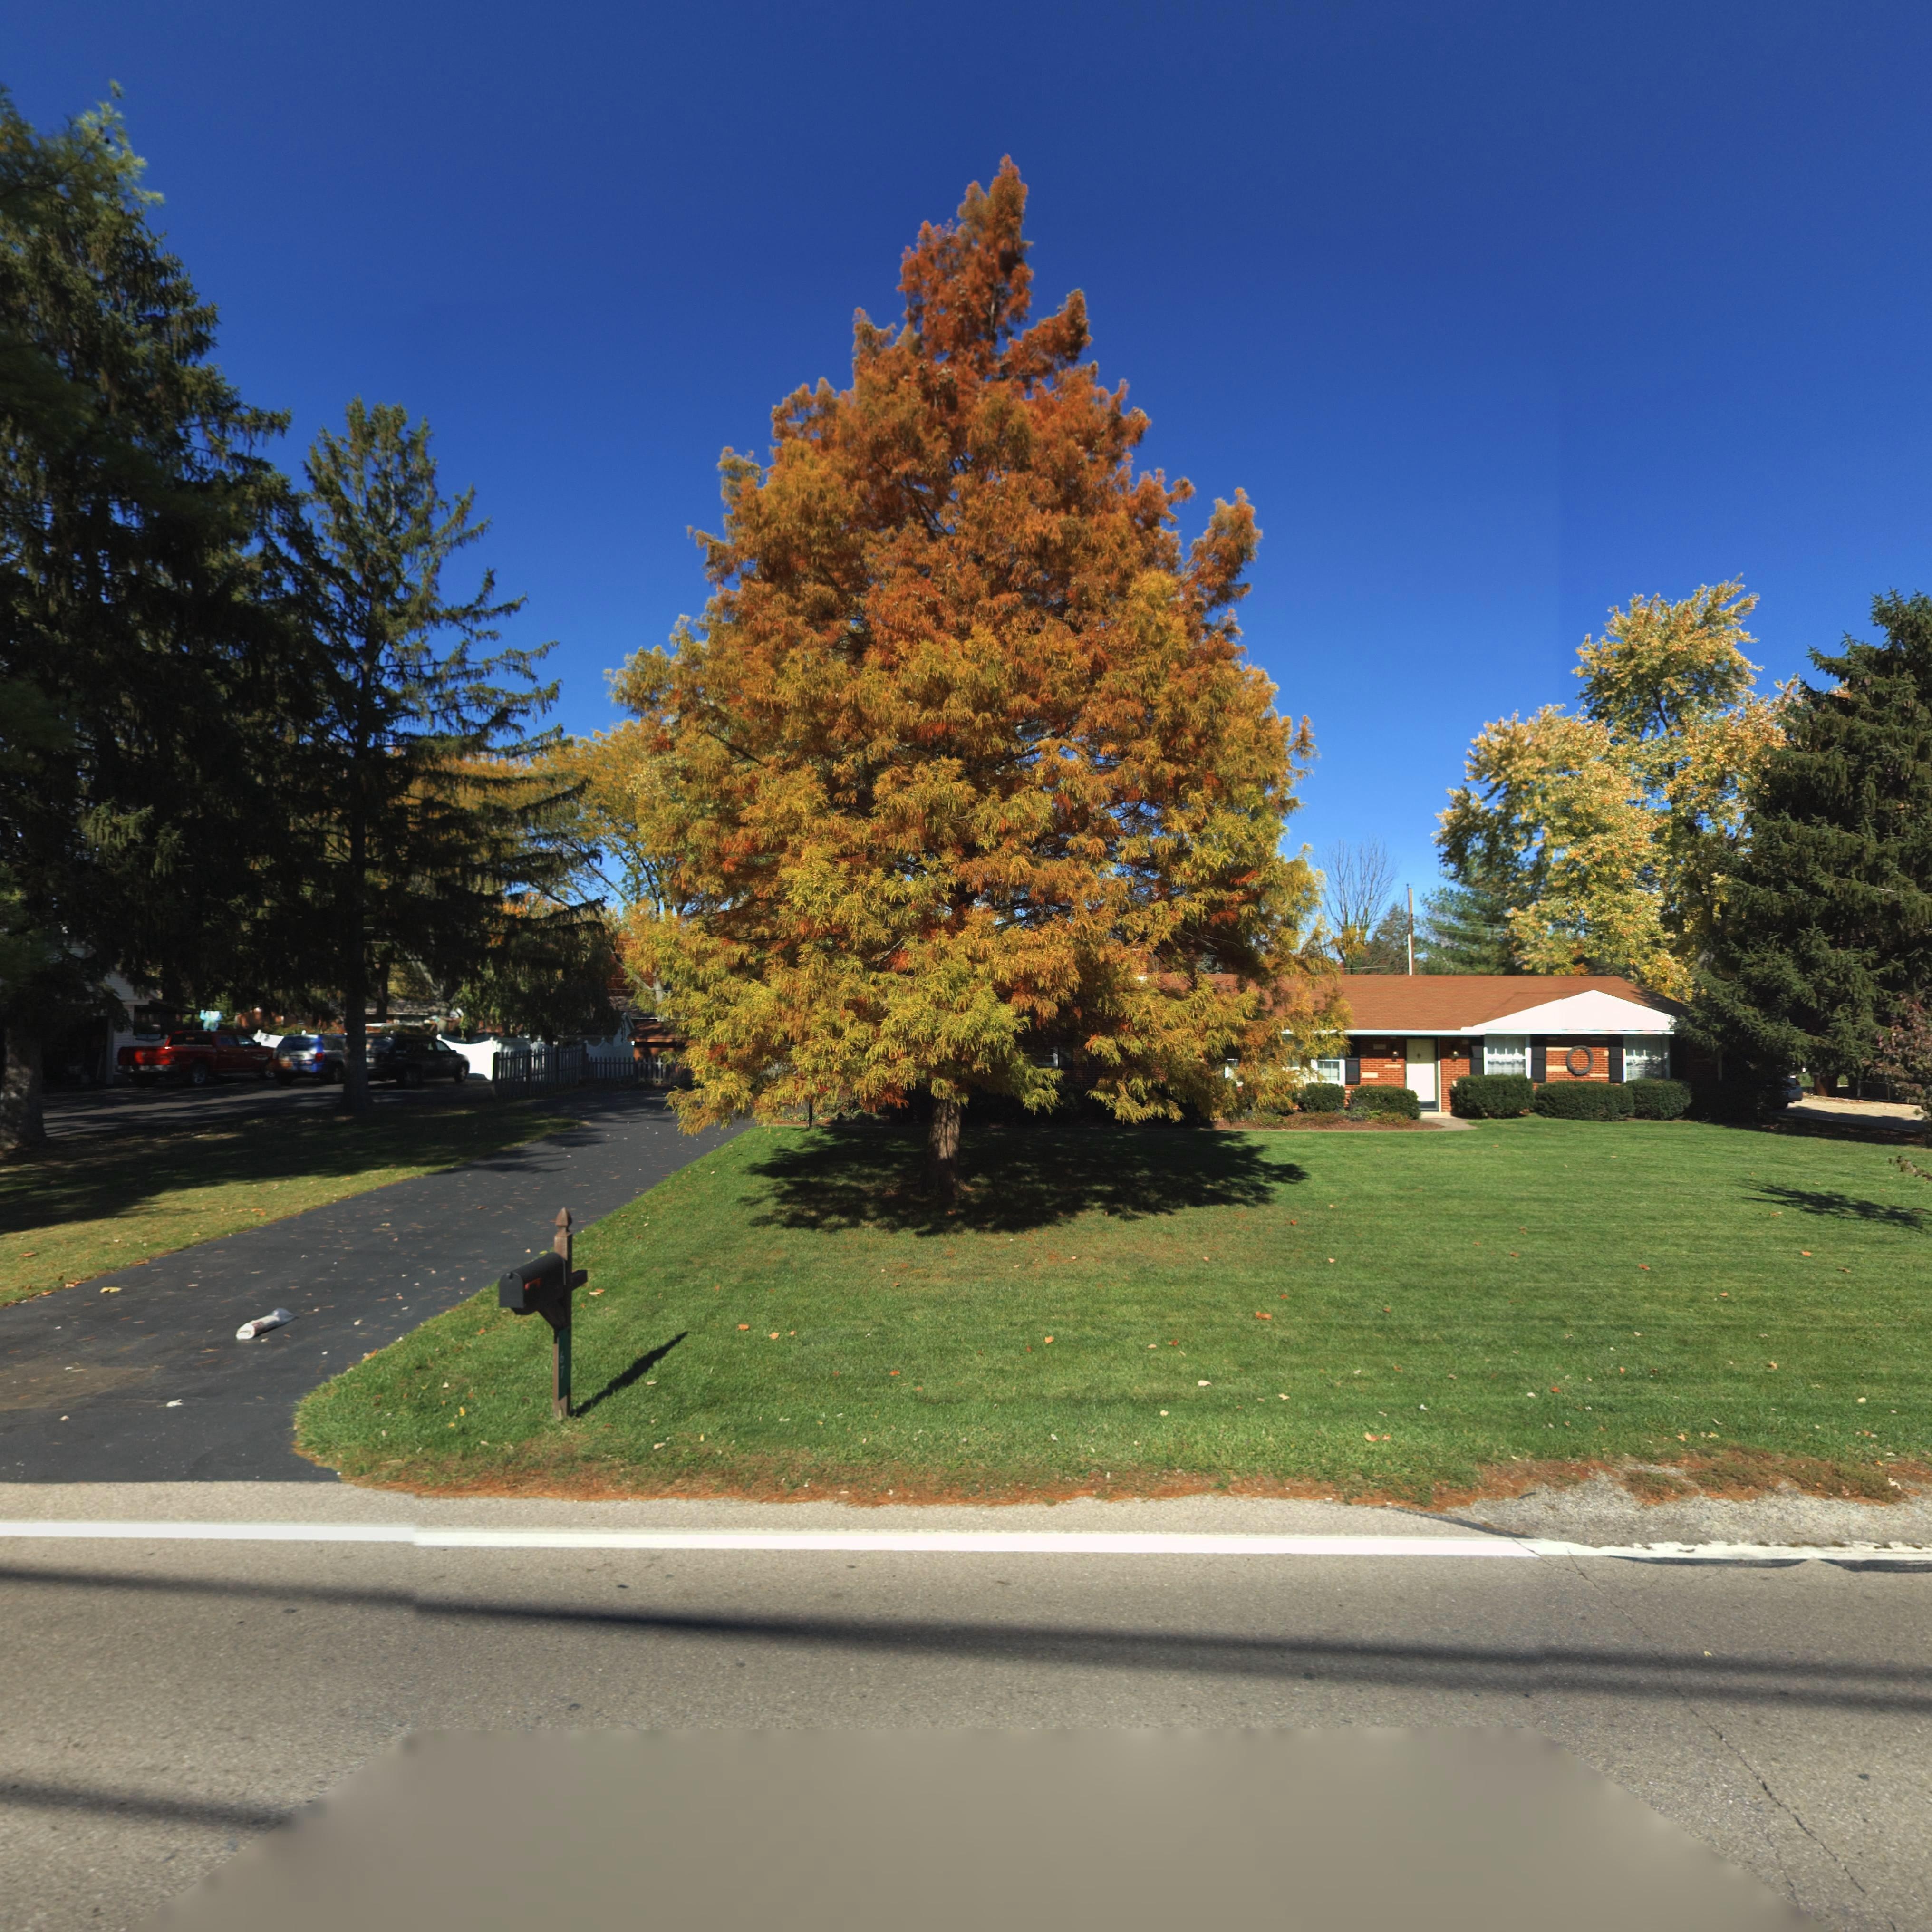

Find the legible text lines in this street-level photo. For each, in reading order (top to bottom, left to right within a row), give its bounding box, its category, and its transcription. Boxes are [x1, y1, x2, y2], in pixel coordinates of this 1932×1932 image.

[559, 1349, 565, 1380] StreetNumber: 67